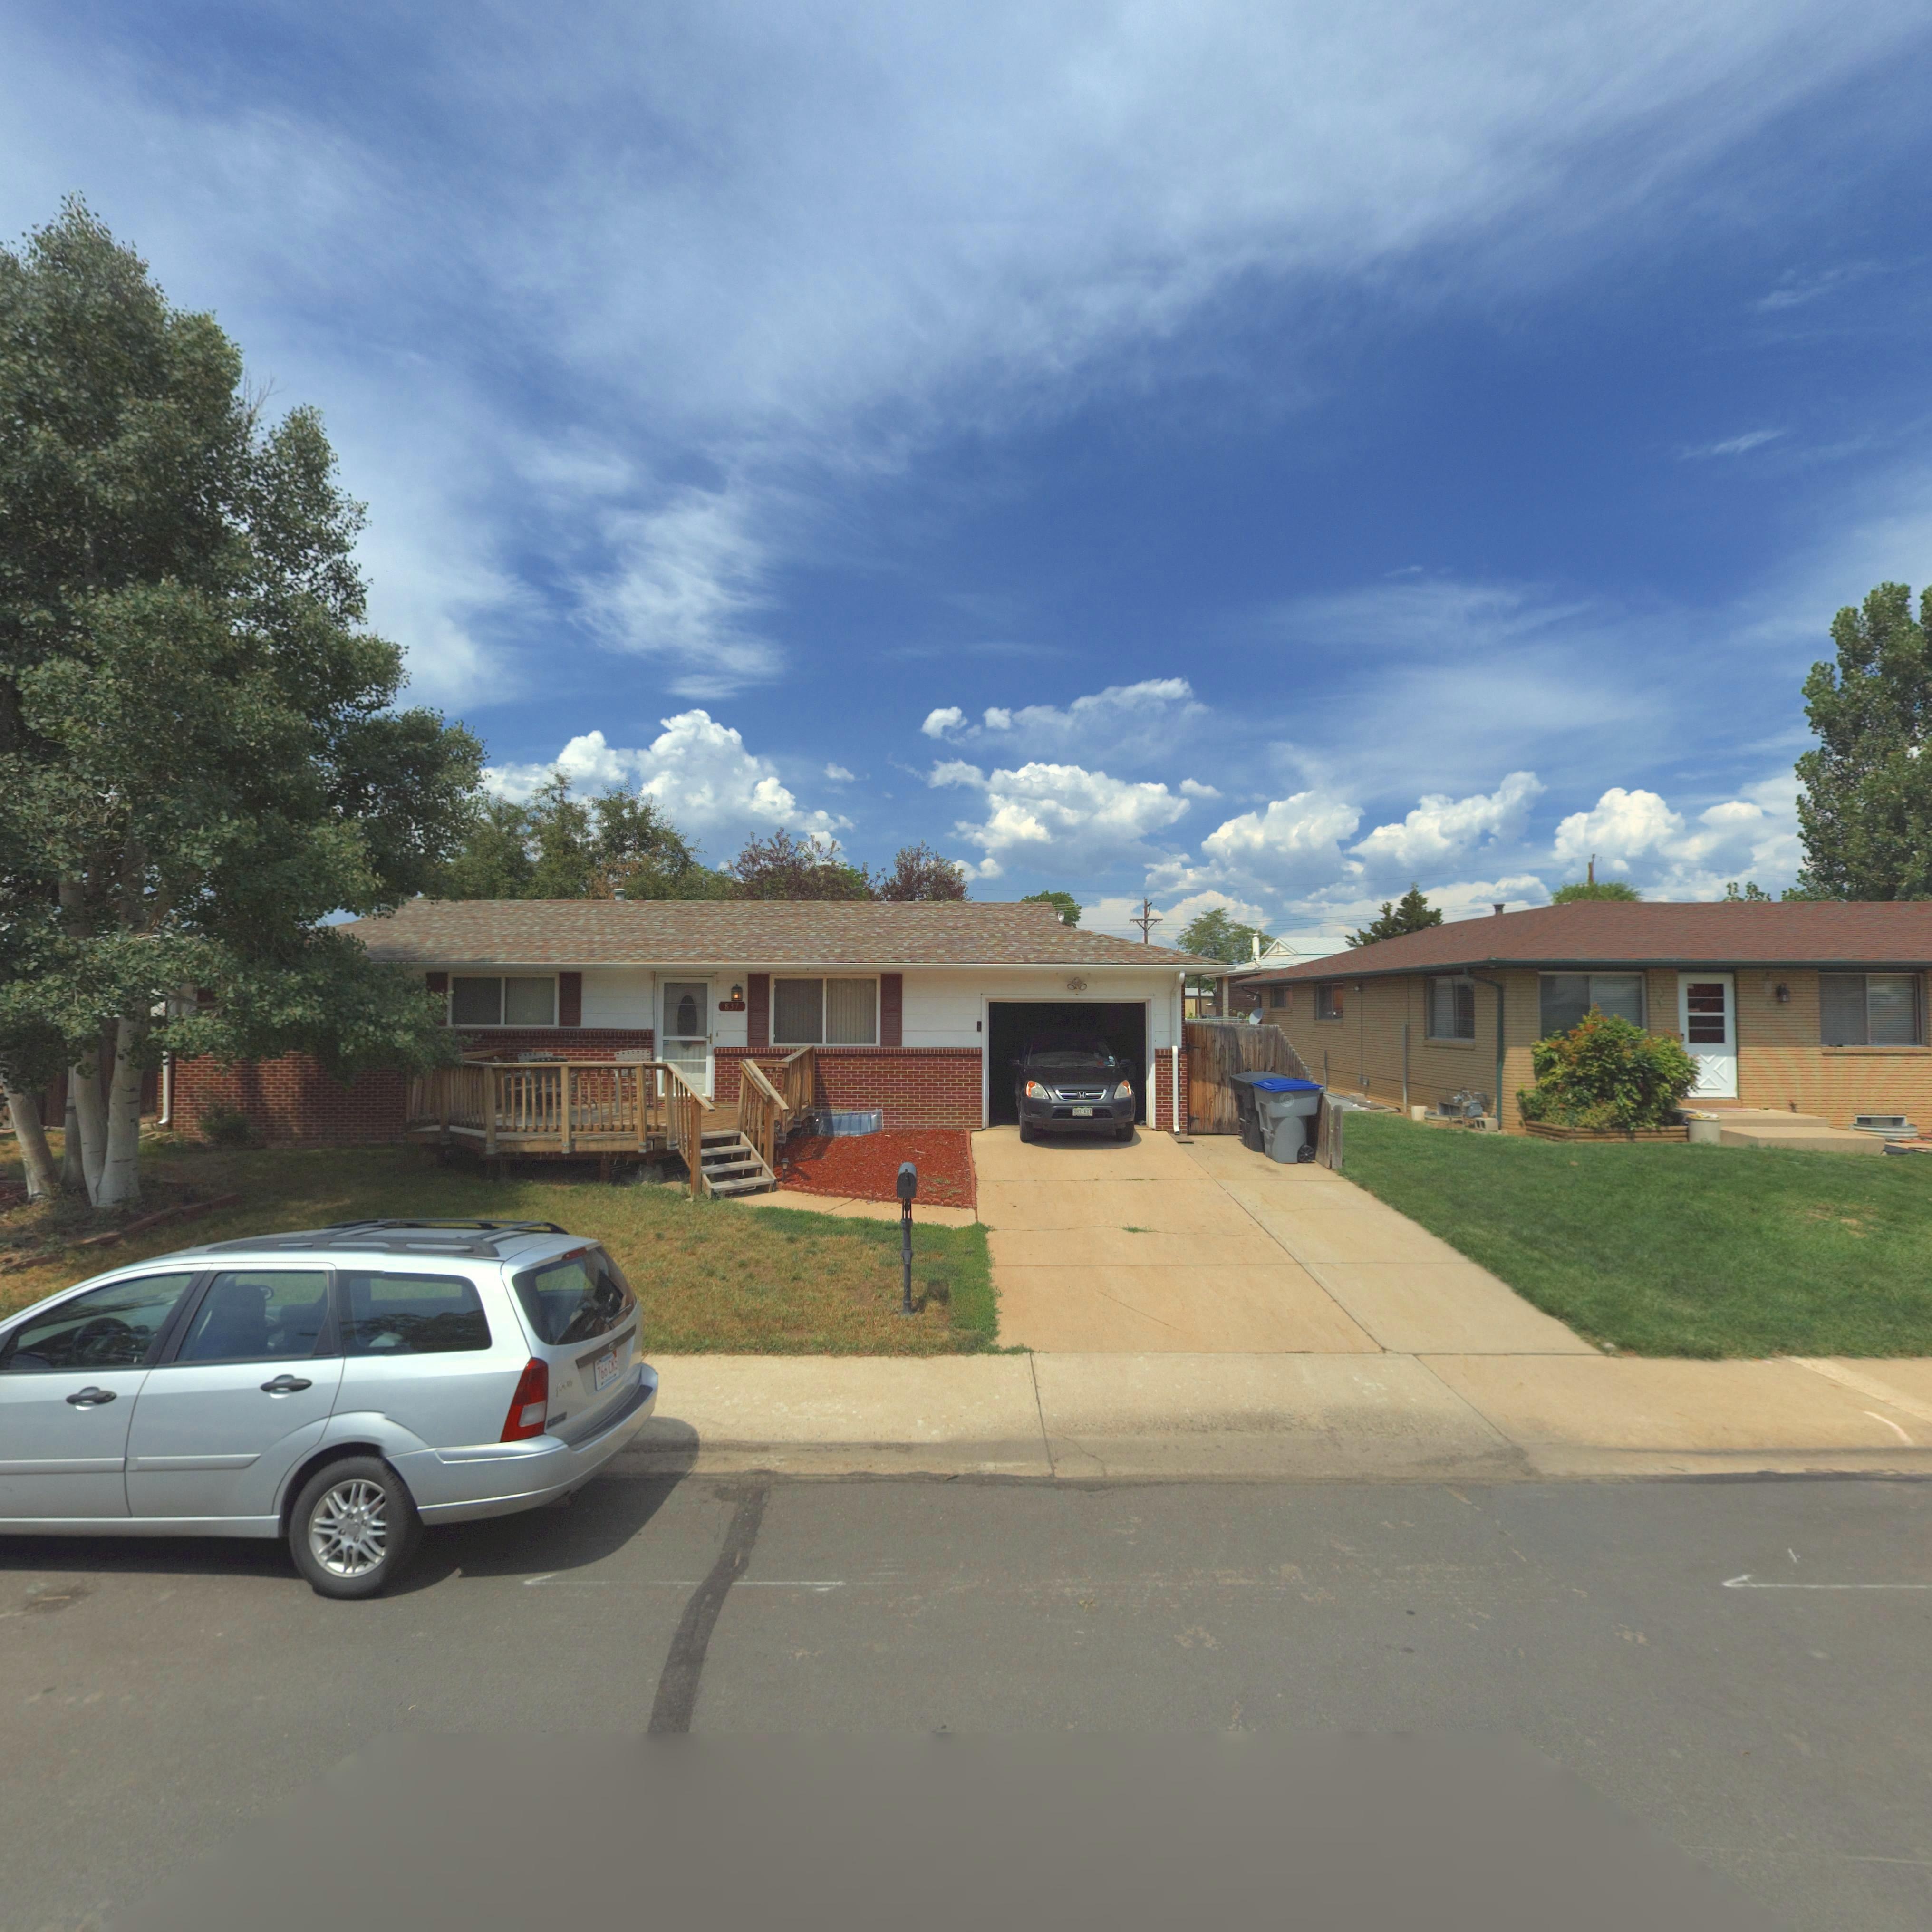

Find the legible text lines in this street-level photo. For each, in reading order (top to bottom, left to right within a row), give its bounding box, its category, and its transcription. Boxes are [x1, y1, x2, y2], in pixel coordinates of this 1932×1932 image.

[724, 1003, 739, 1010] StreetNumber: 837